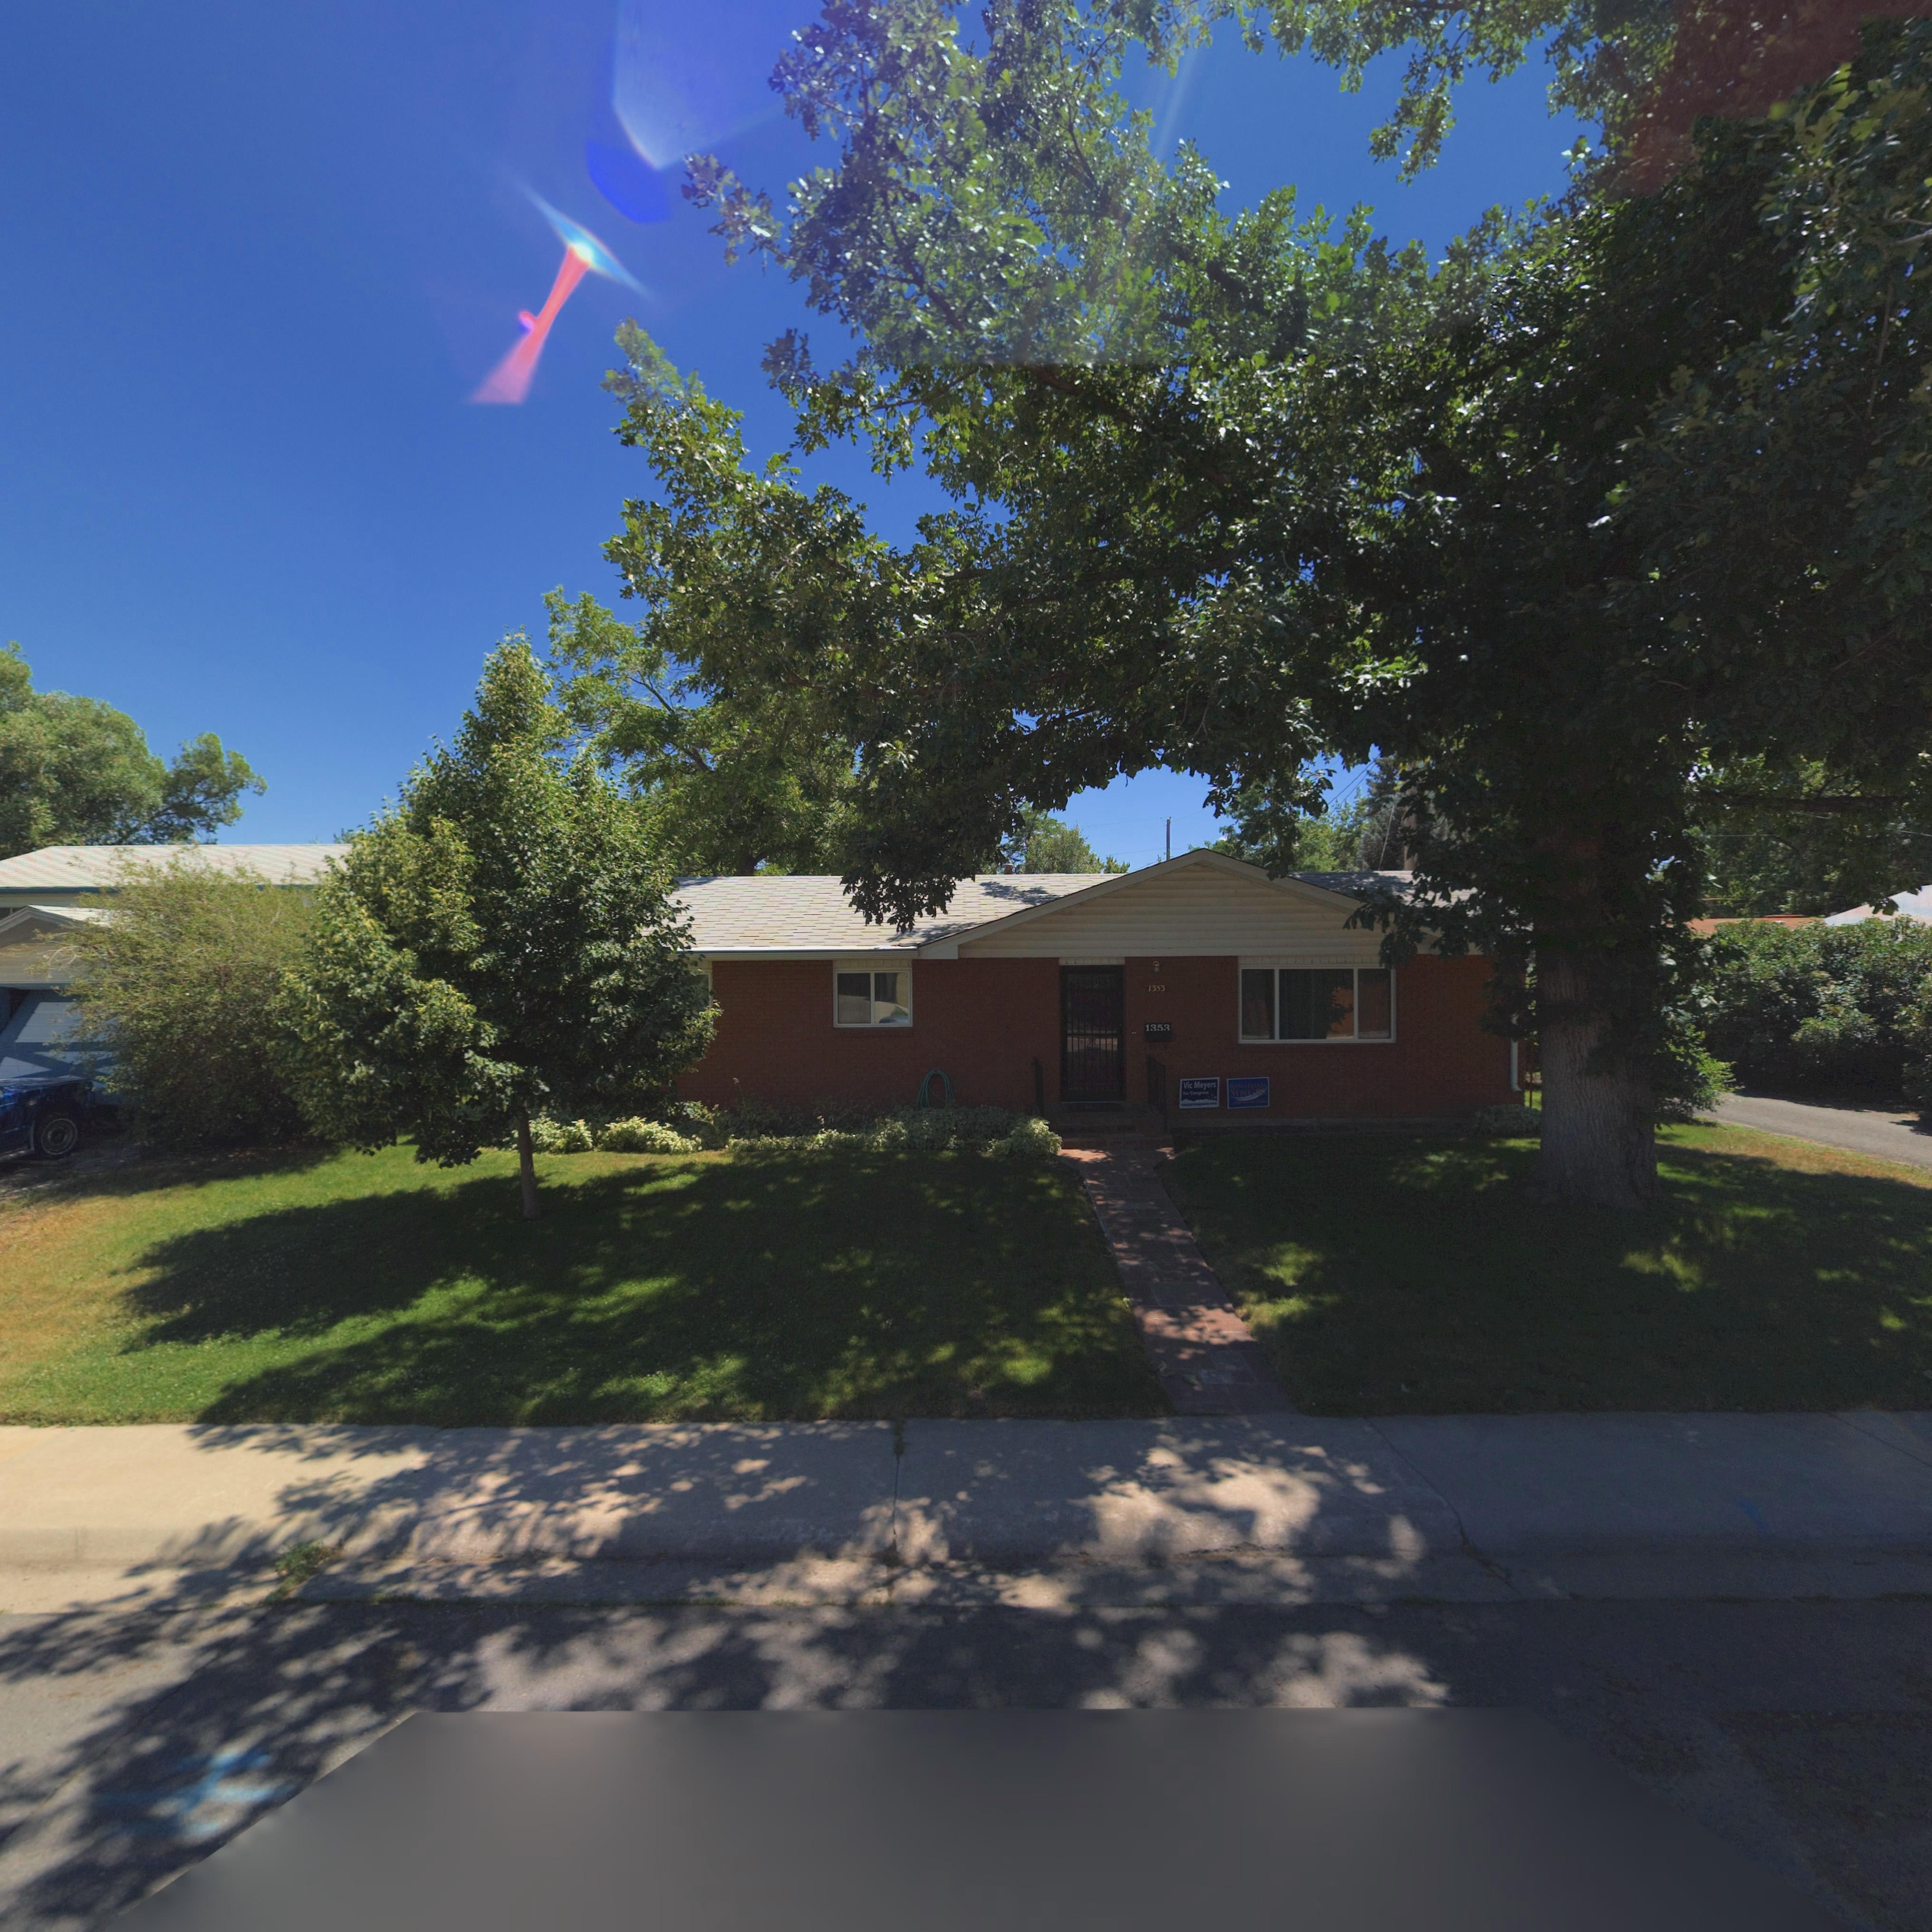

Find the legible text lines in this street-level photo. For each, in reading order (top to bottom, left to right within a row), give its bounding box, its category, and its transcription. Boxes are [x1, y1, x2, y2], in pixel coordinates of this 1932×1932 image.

[1148, 984, 1166, 992] StreetNumber: 1353
[1145, 1024, 1170, 1031] StreetNumber: 1353